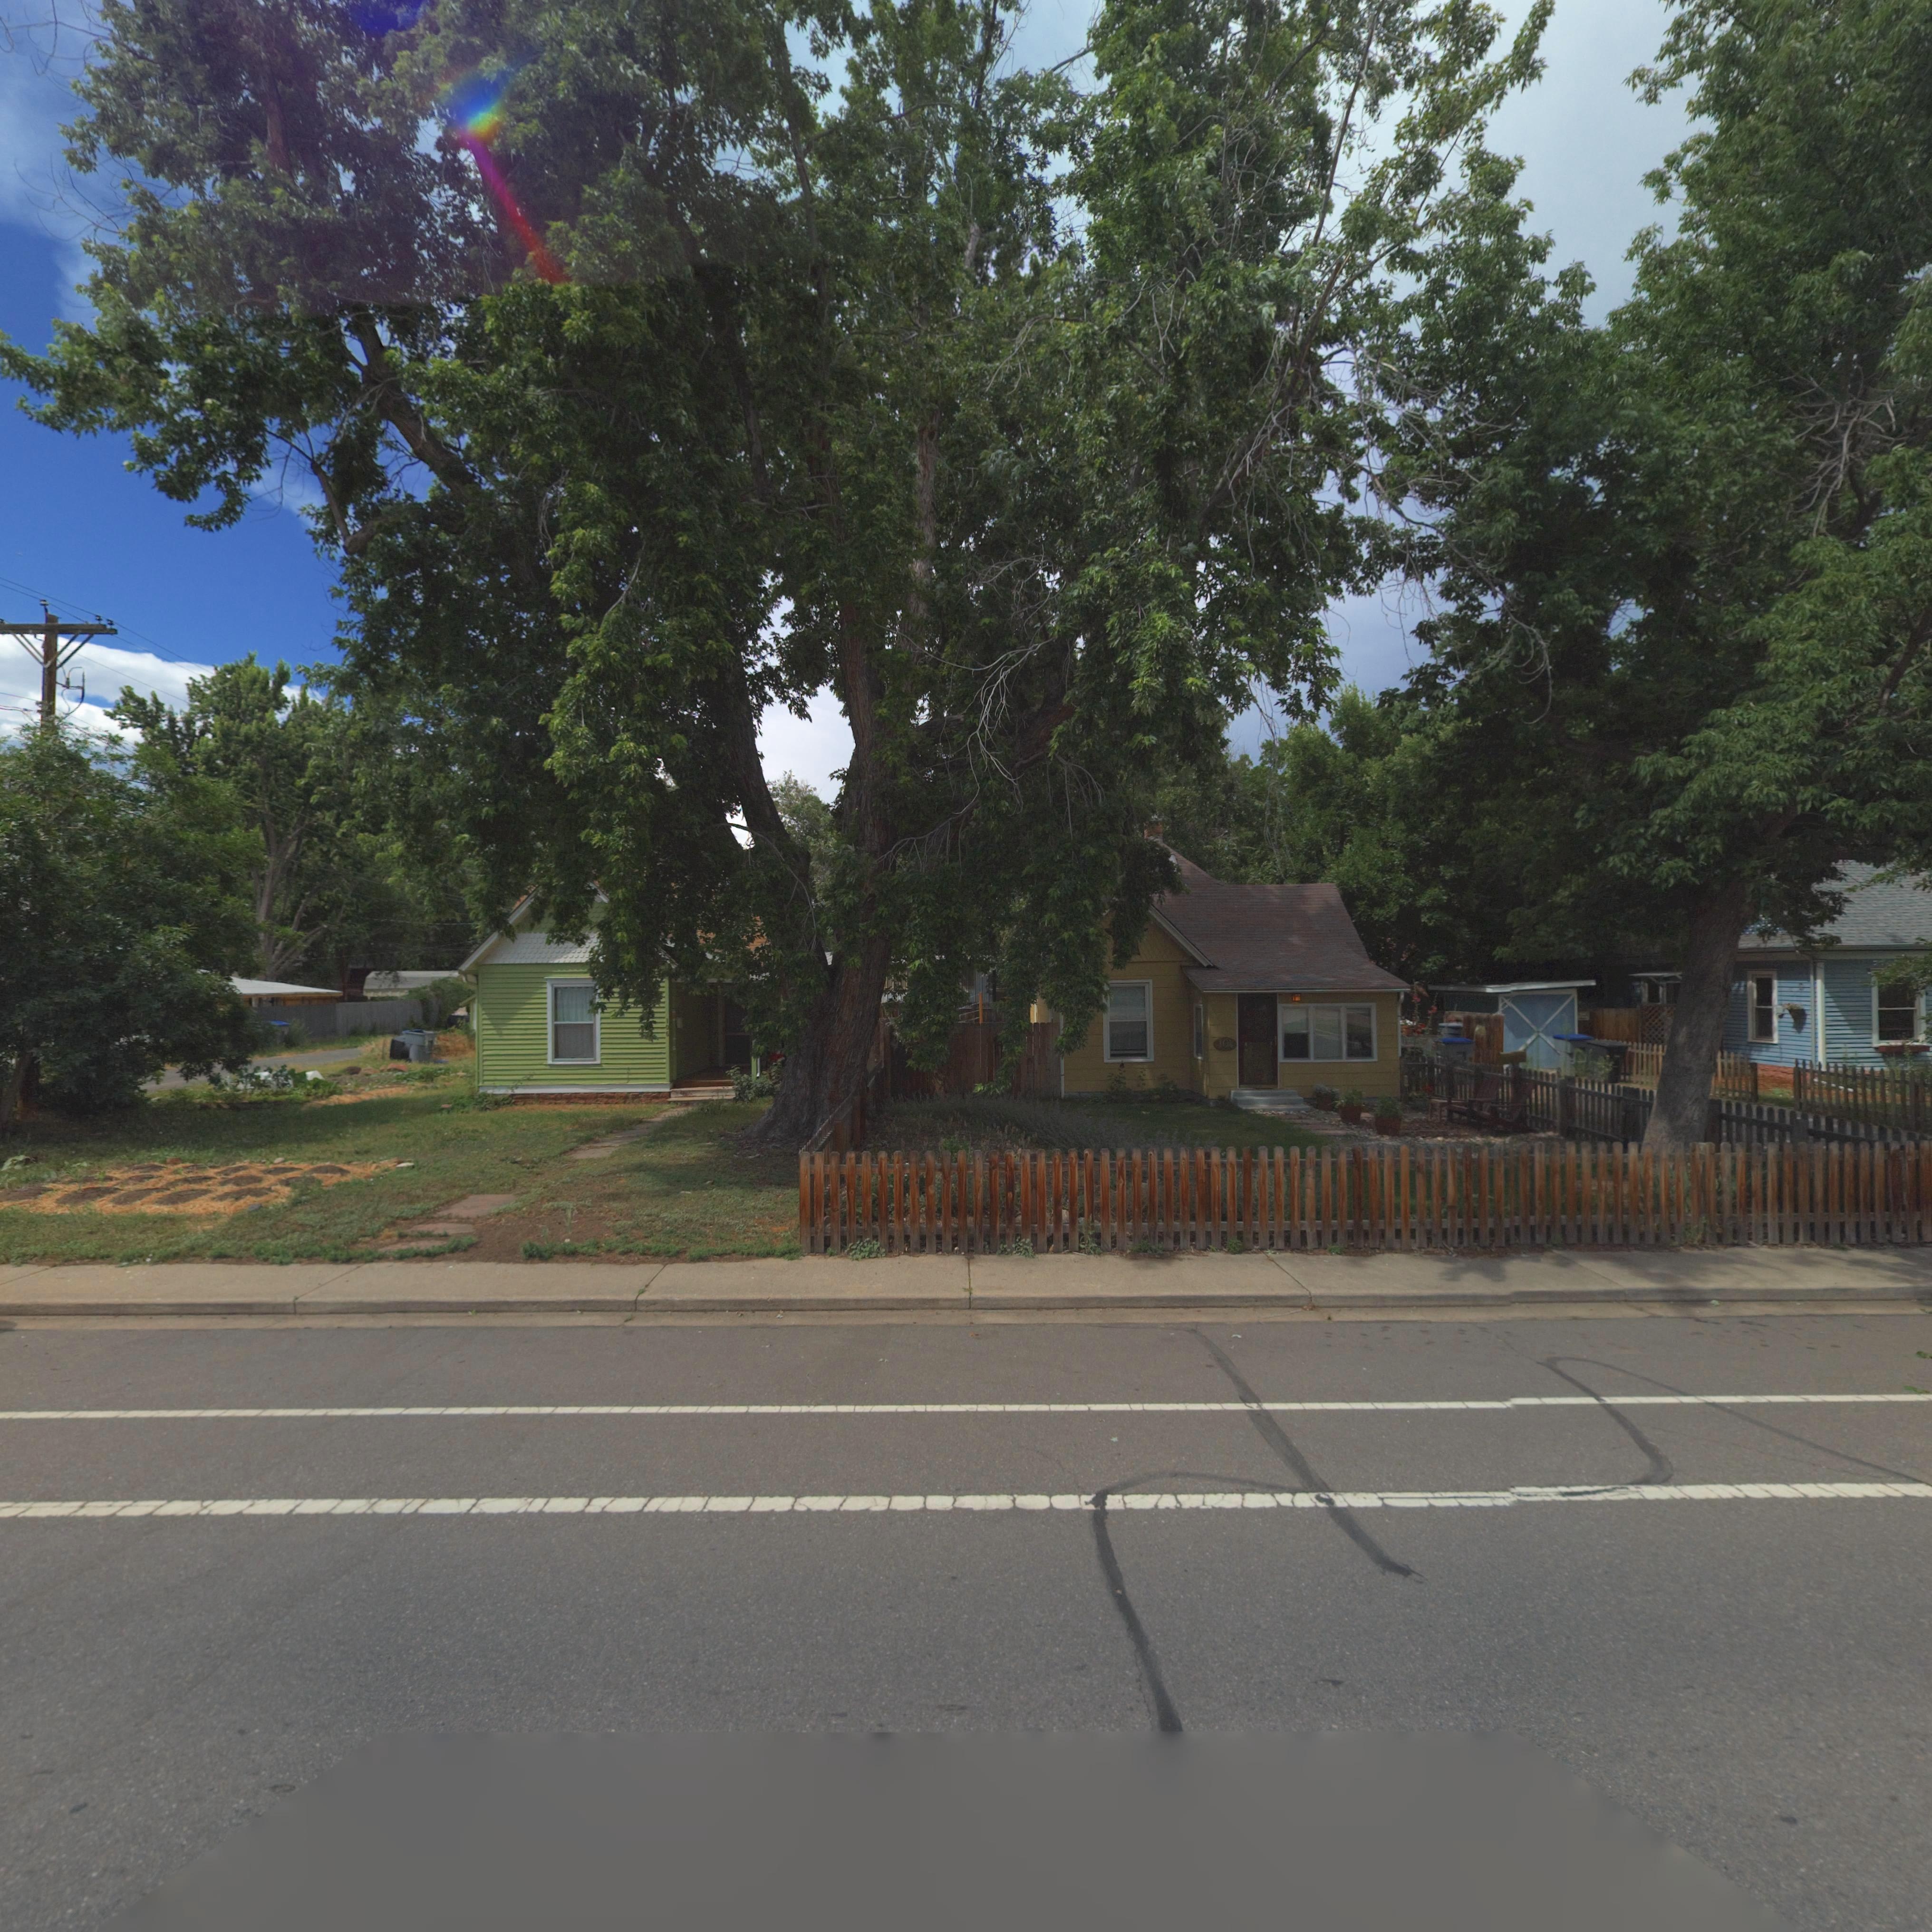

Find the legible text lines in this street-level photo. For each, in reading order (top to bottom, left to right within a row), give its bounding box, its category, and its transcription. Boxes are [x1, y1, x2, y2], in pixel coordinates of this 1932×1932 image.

[1215, 1039, 1234, 1048] StreetNumber: 404